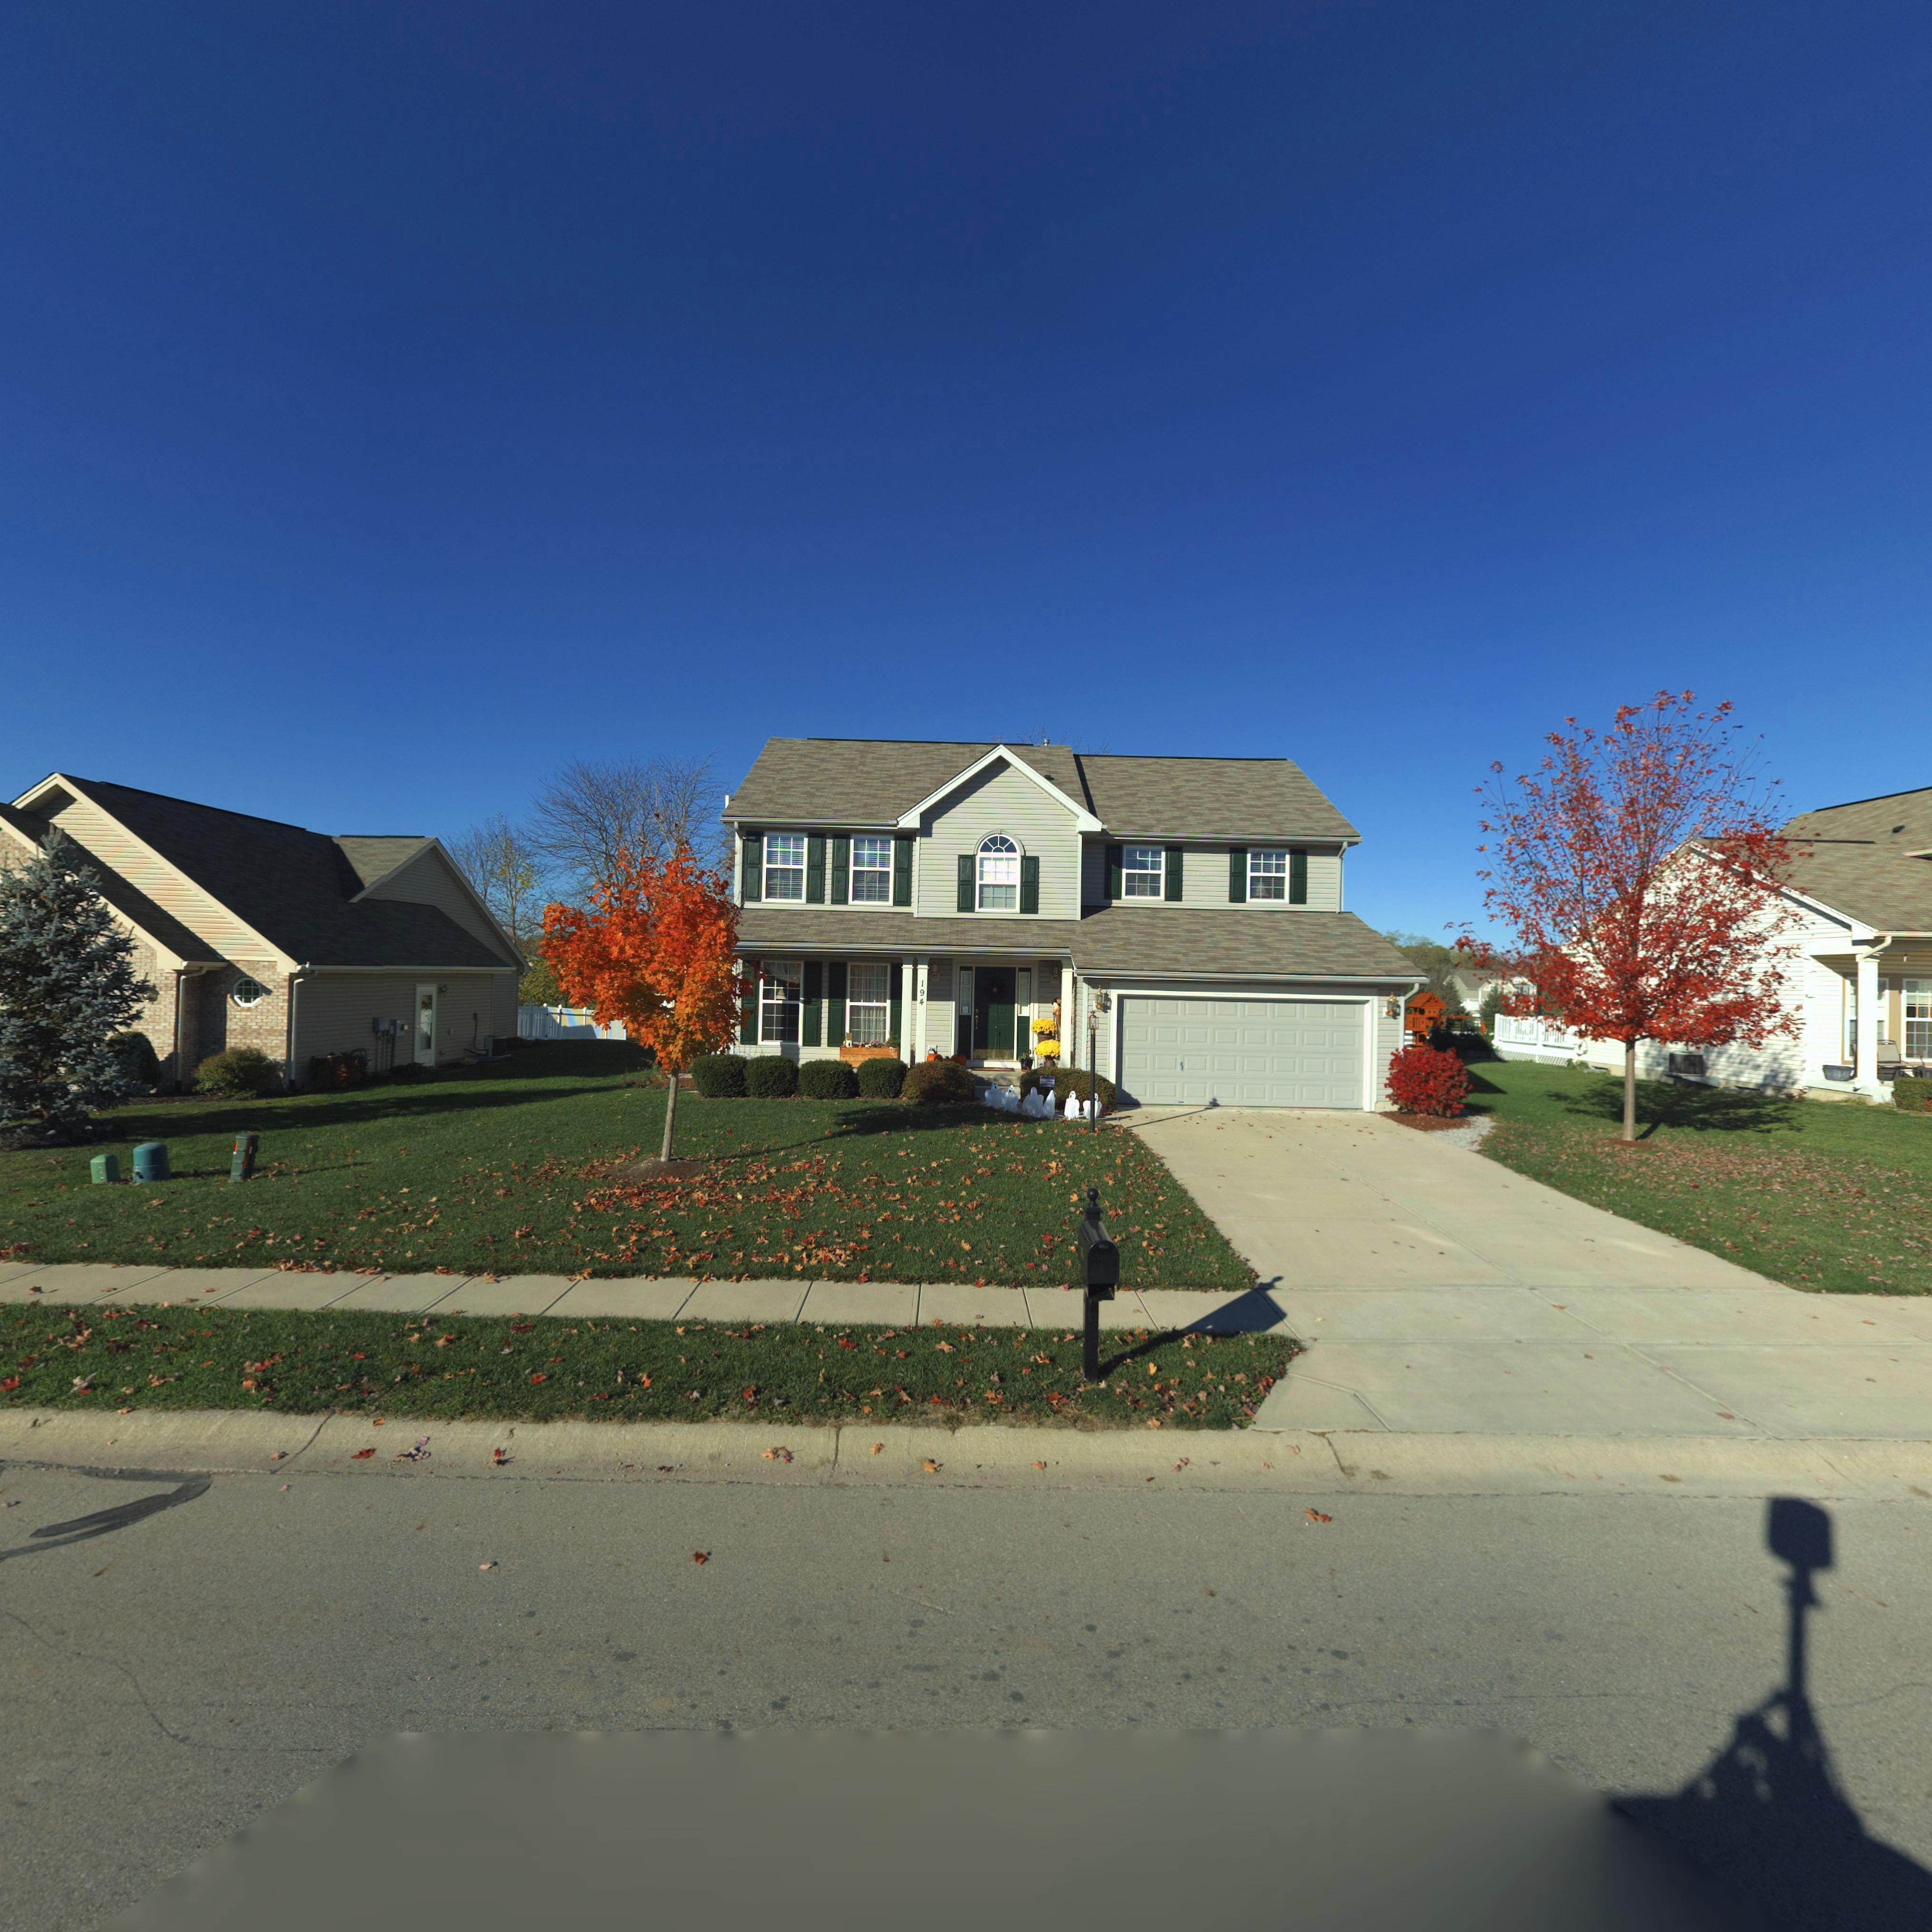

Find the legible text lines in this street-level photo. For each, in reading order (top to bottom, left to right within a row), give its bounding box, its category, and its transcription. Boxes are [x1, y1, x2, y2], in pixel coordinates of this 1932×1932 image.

[918, 979, 926, 1006] StreetNumber: 194